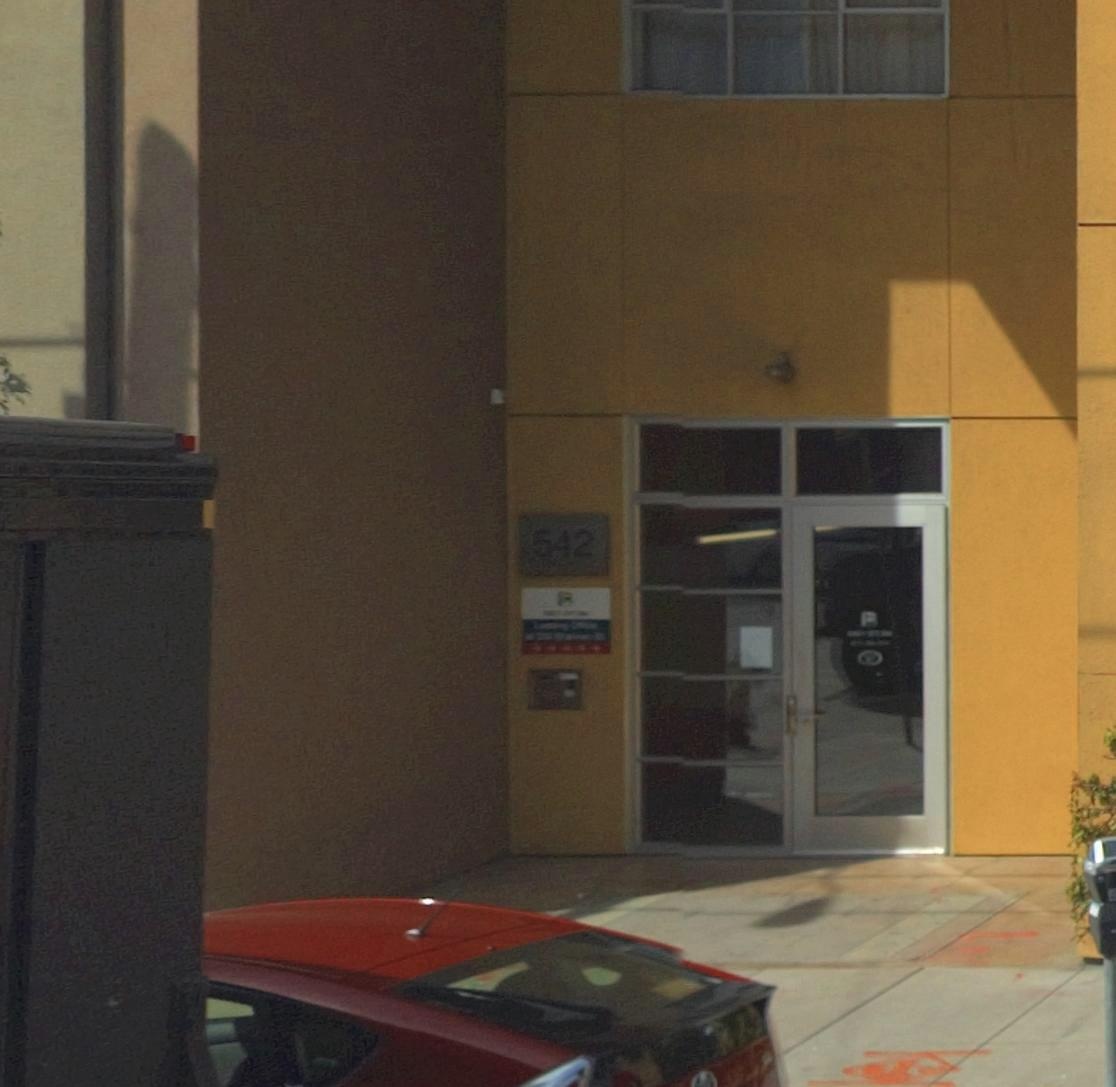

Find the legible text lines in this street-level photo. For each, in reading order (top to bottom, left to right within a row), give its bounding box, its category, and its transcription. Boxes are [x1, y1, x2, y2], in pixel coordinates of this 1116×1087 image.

[526, 525, 598, 565] StreetNumber: 542